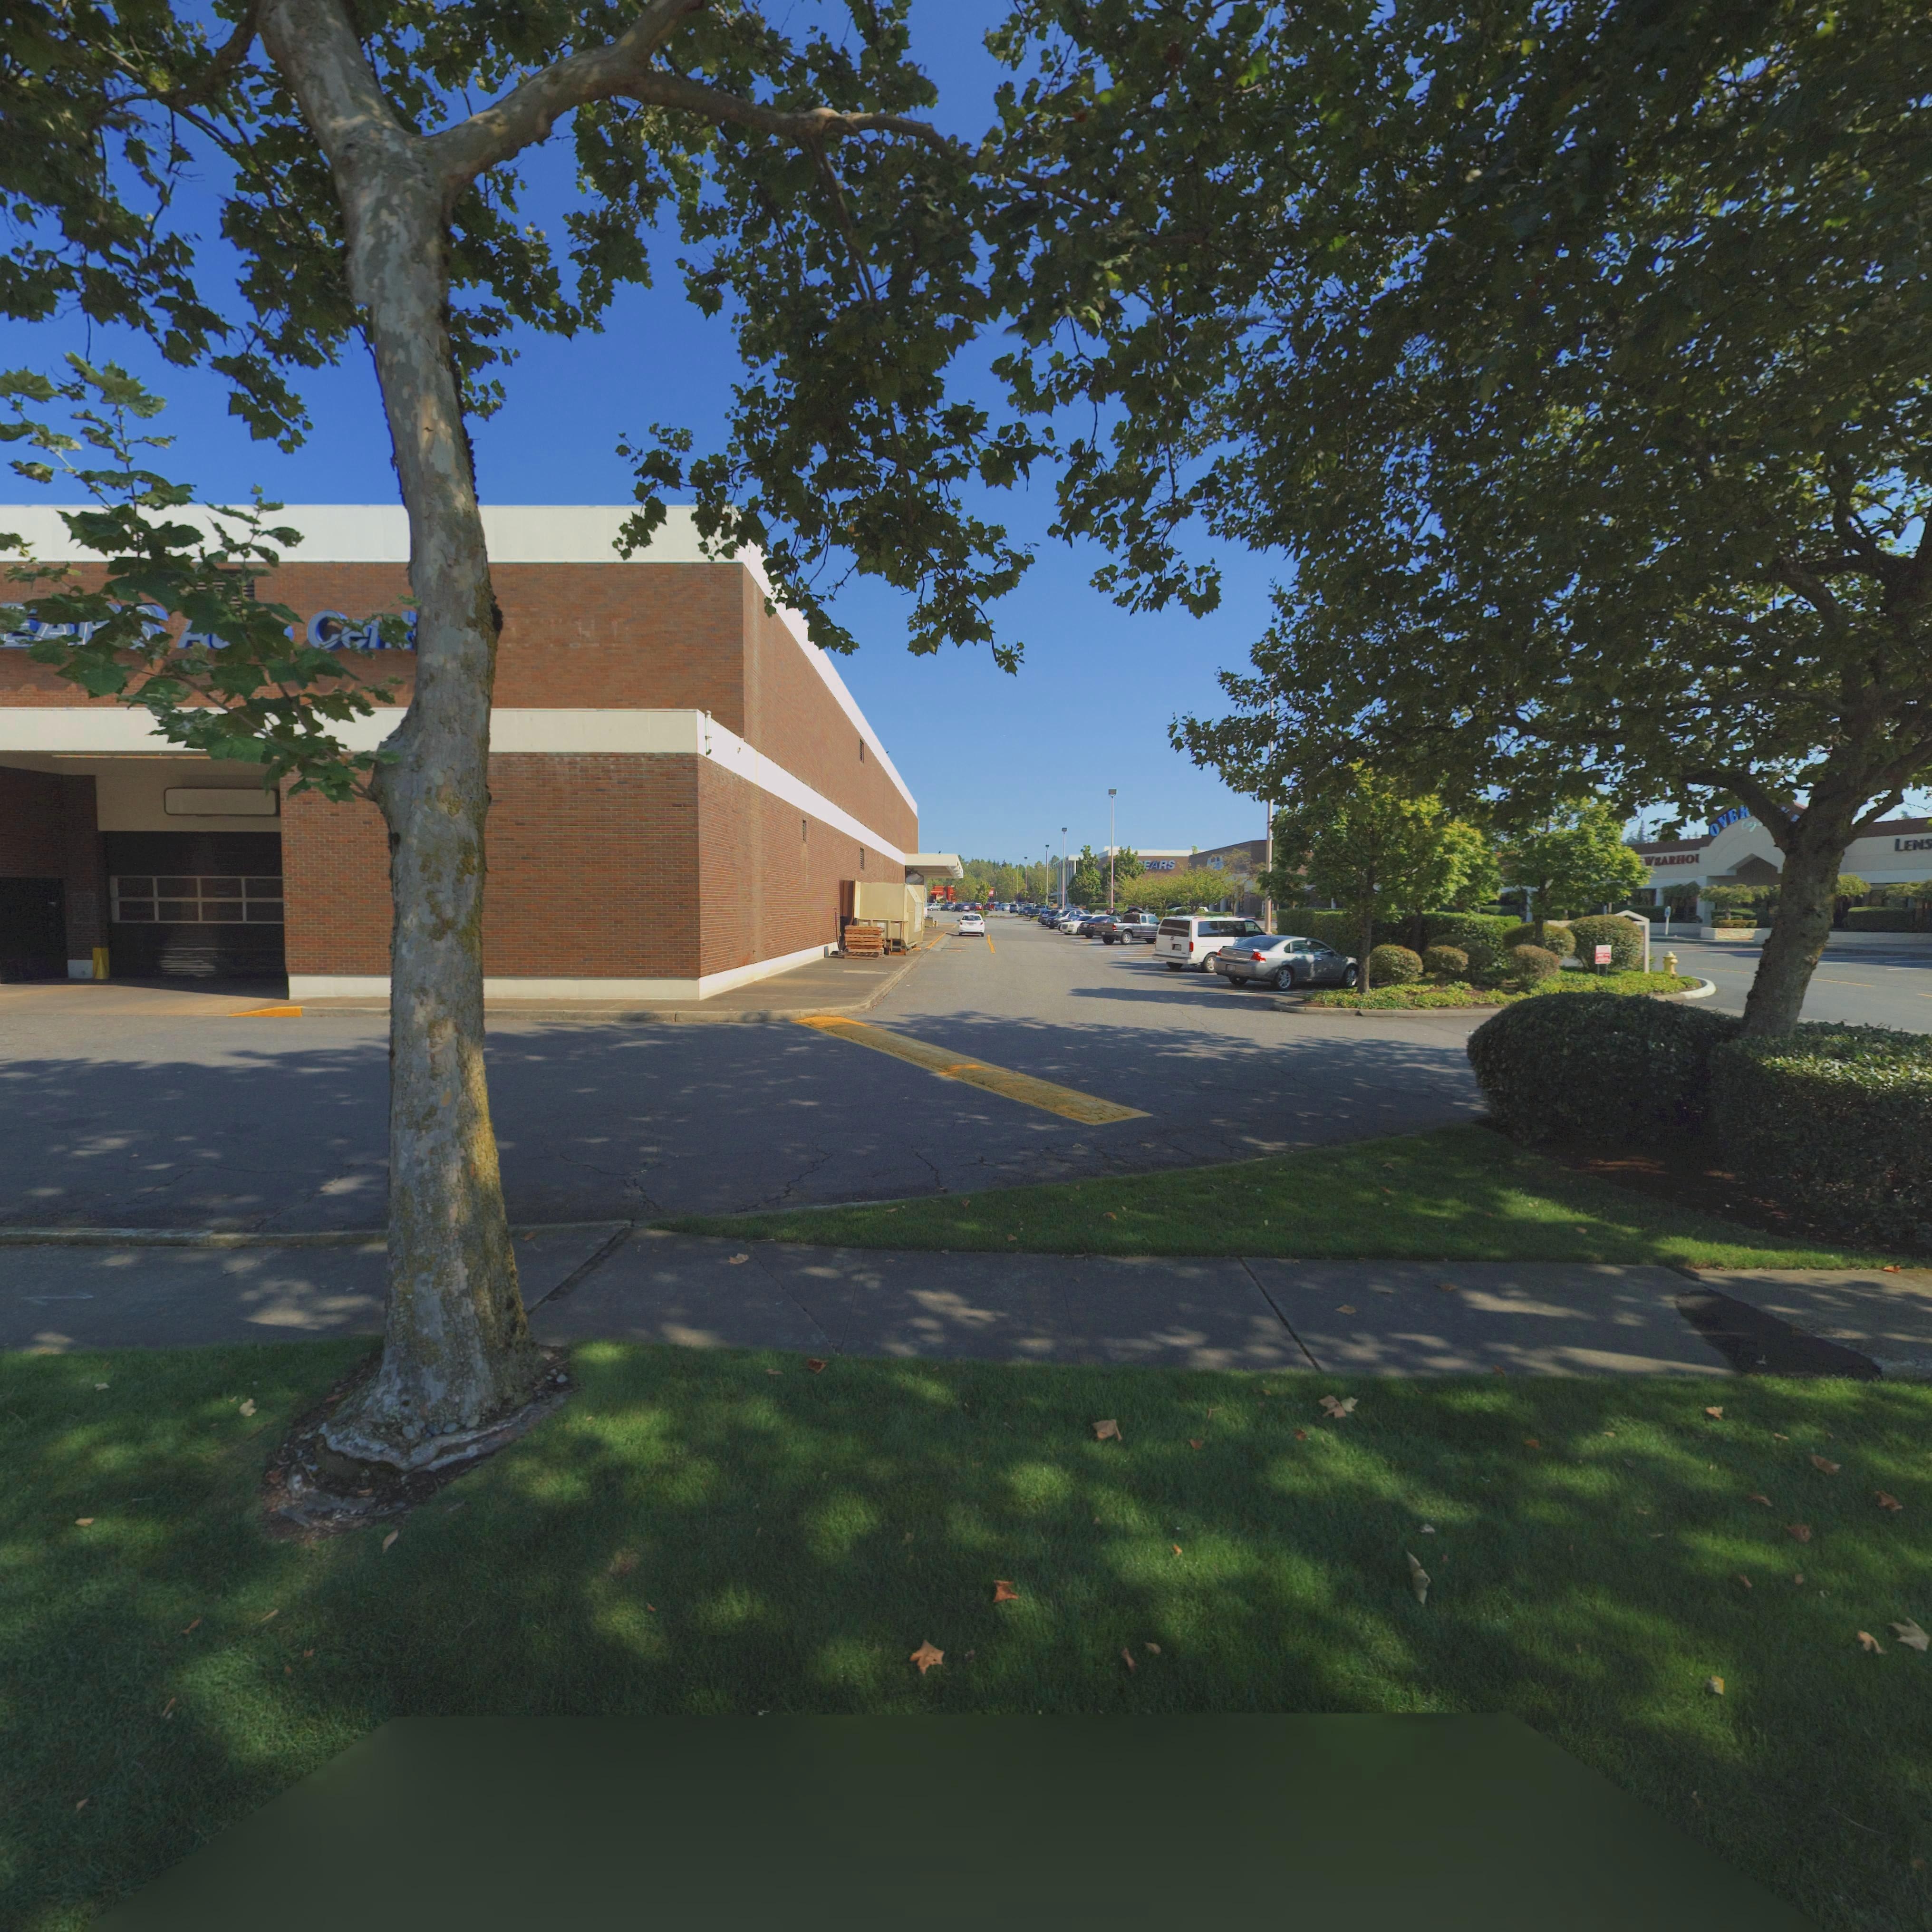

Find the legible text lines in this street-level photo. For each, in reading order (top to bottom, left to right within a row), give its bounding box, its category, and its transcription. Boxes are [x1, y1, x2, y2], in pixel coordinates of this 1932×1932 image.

[305, 608, 343, 651] BusinessName: C
[1893, 837, 1932, 851] BusinessName: LENS
[1143, 859, 1176, 870] BusinessName: EARS
[1642, 853, 1694, 866] BusinessName: WEARHO